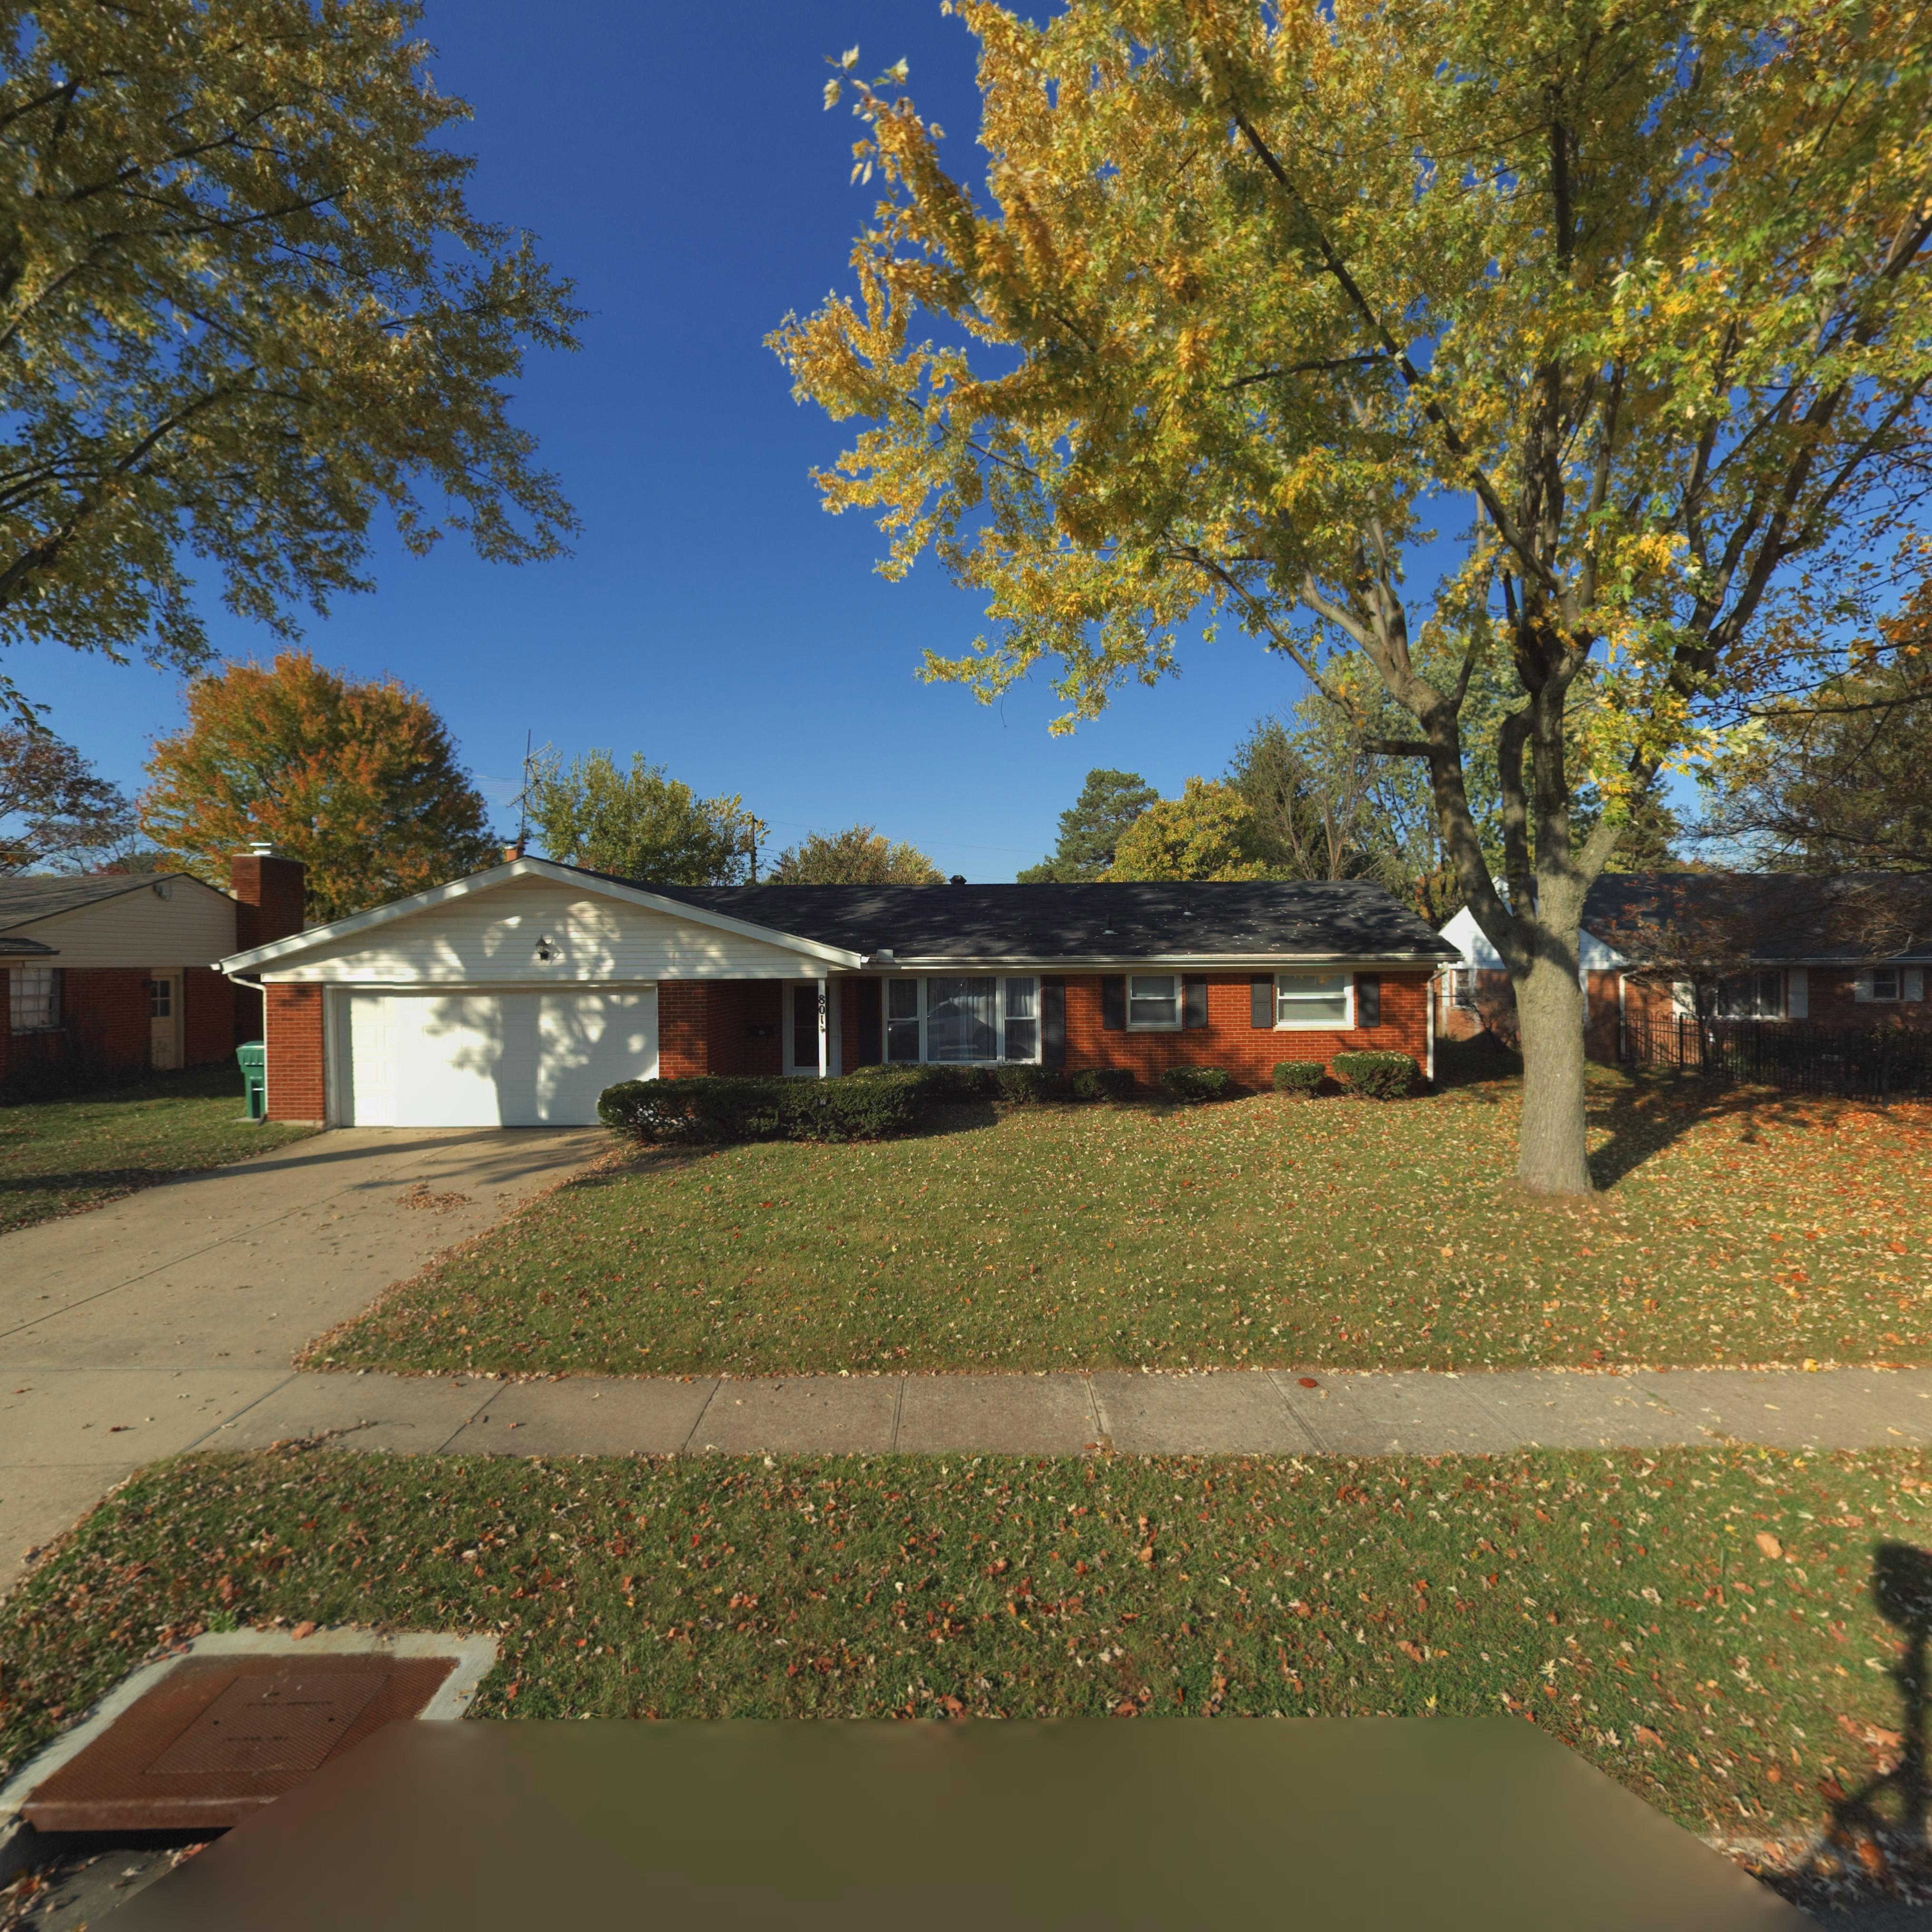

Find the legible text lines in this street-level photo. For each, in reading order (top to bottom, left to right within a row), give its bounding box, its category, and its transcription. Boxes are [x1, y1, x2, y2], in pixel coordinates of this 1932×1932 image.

[818, 994, 826, 1024] StreetNumber: 801